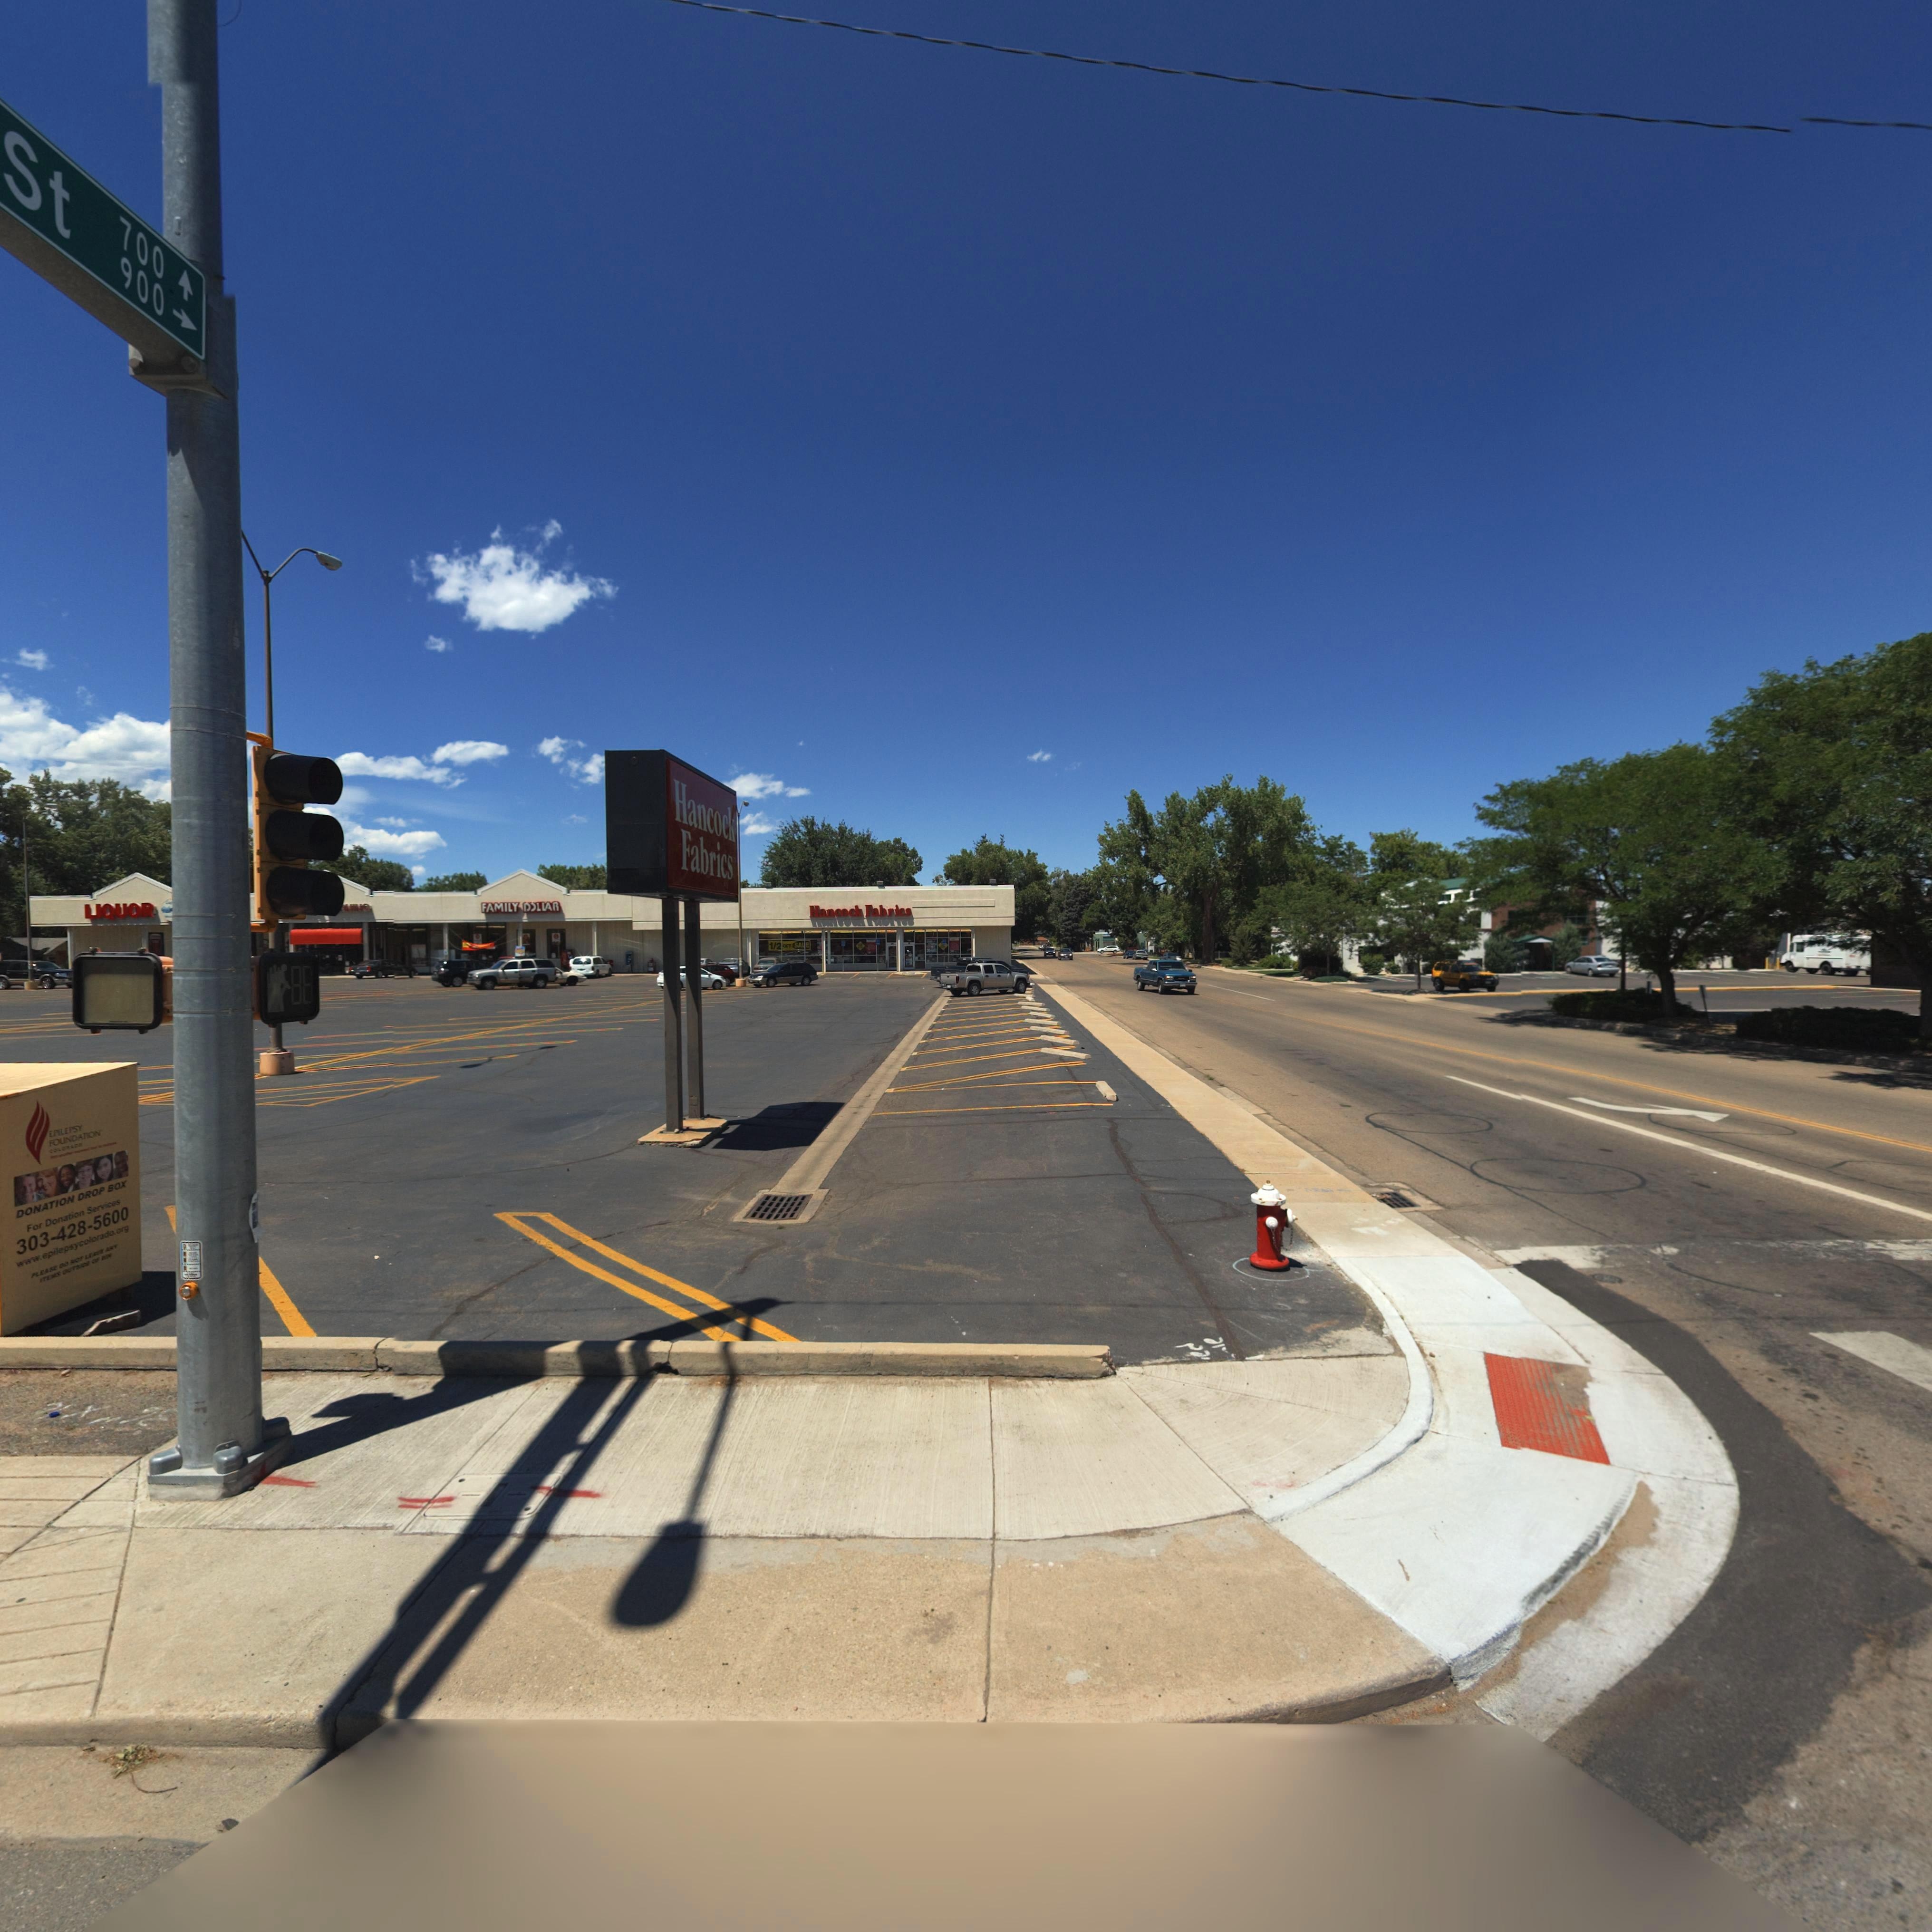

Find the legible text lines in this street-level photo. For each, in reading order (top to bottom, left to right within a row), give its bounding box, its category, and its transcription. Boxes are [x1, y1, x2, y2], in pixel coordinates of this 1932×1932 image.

[2, 129, 72, 243] StreetName: St
[118, 213, 165, 281] StreetNumberRange: 700
[119, 253, 199, 344] StreetNumberRange: 900 ->
[672, 777, 736, 843] BusinessName: Hancock
[681, 827, 734, 881] BusinessName: Fabrics
[344, 903, 370, 912] BusinessName: *ING
[481, 901, 560, 913] BusinessName: FAMILY D**L*R
[809, 904, 912, 918] BusinessName: Hancock Fabrics